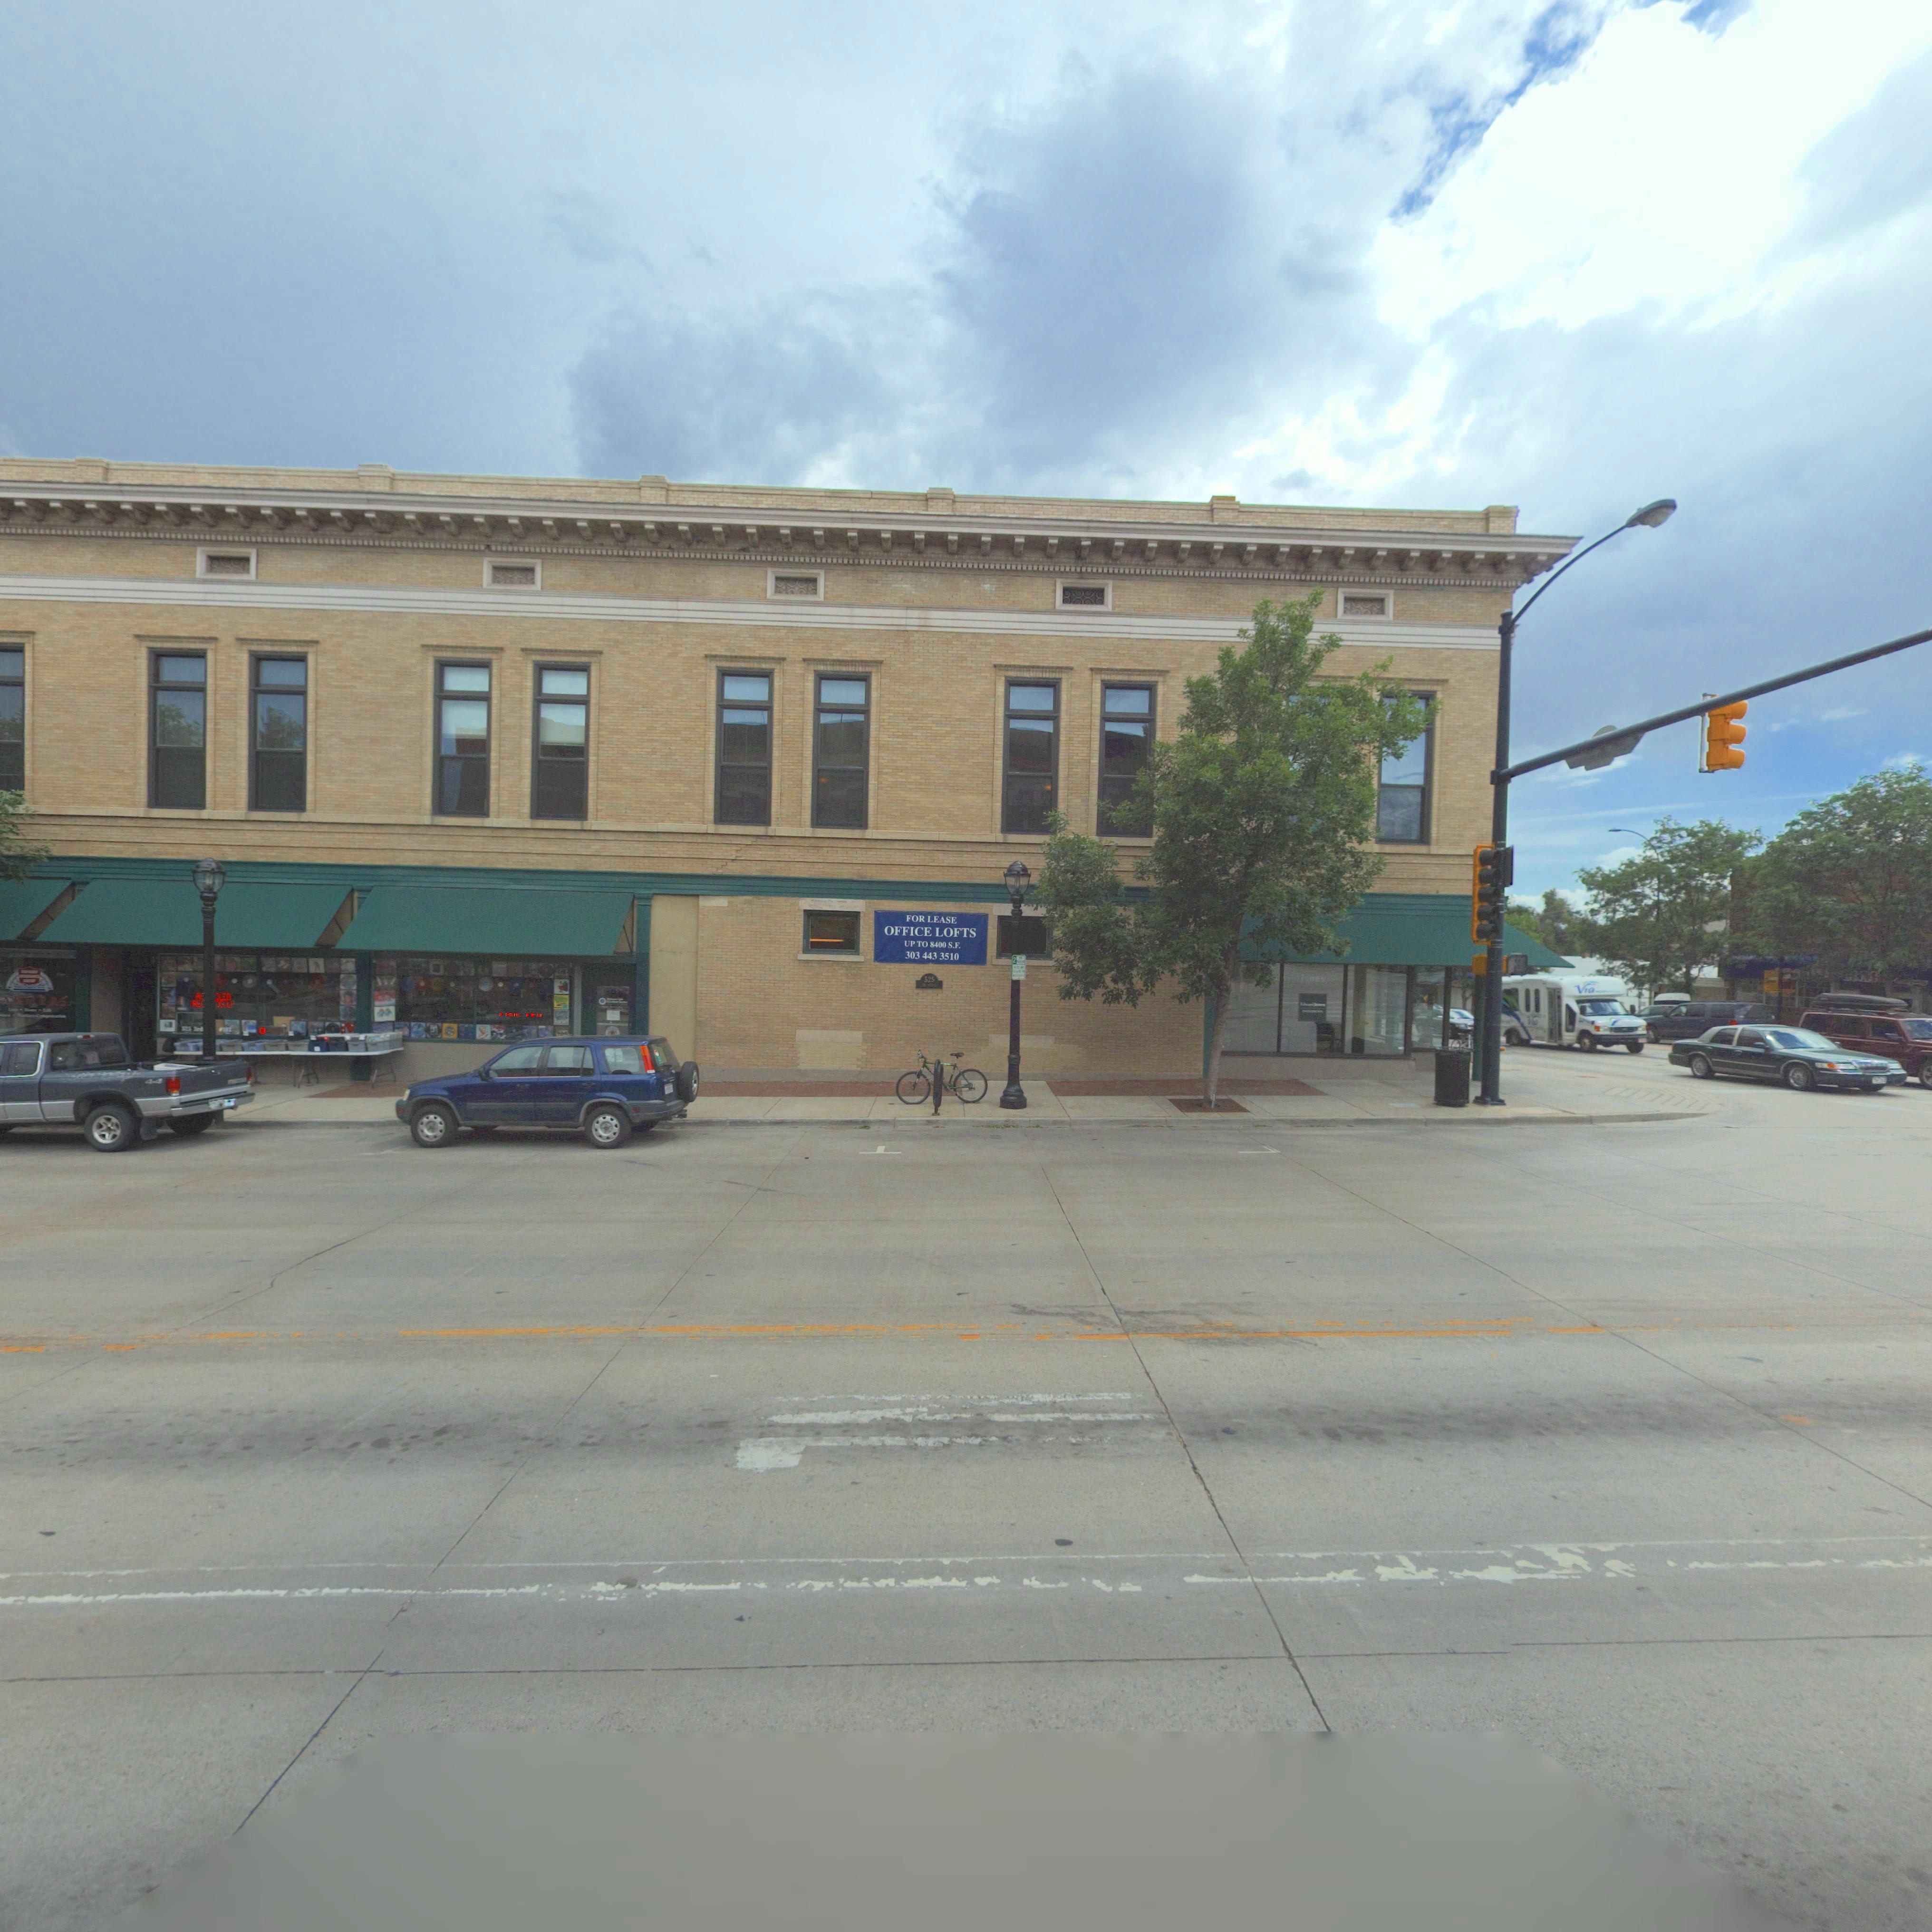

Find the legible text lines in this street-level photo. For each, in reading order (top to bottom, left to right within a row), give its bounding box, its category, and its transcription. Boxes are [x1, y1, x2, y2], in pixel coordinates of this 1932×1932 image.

[924, 976, 934, 982] StreetNumber: 525
[26, 995, 66, 1006] BusinessName: MERS